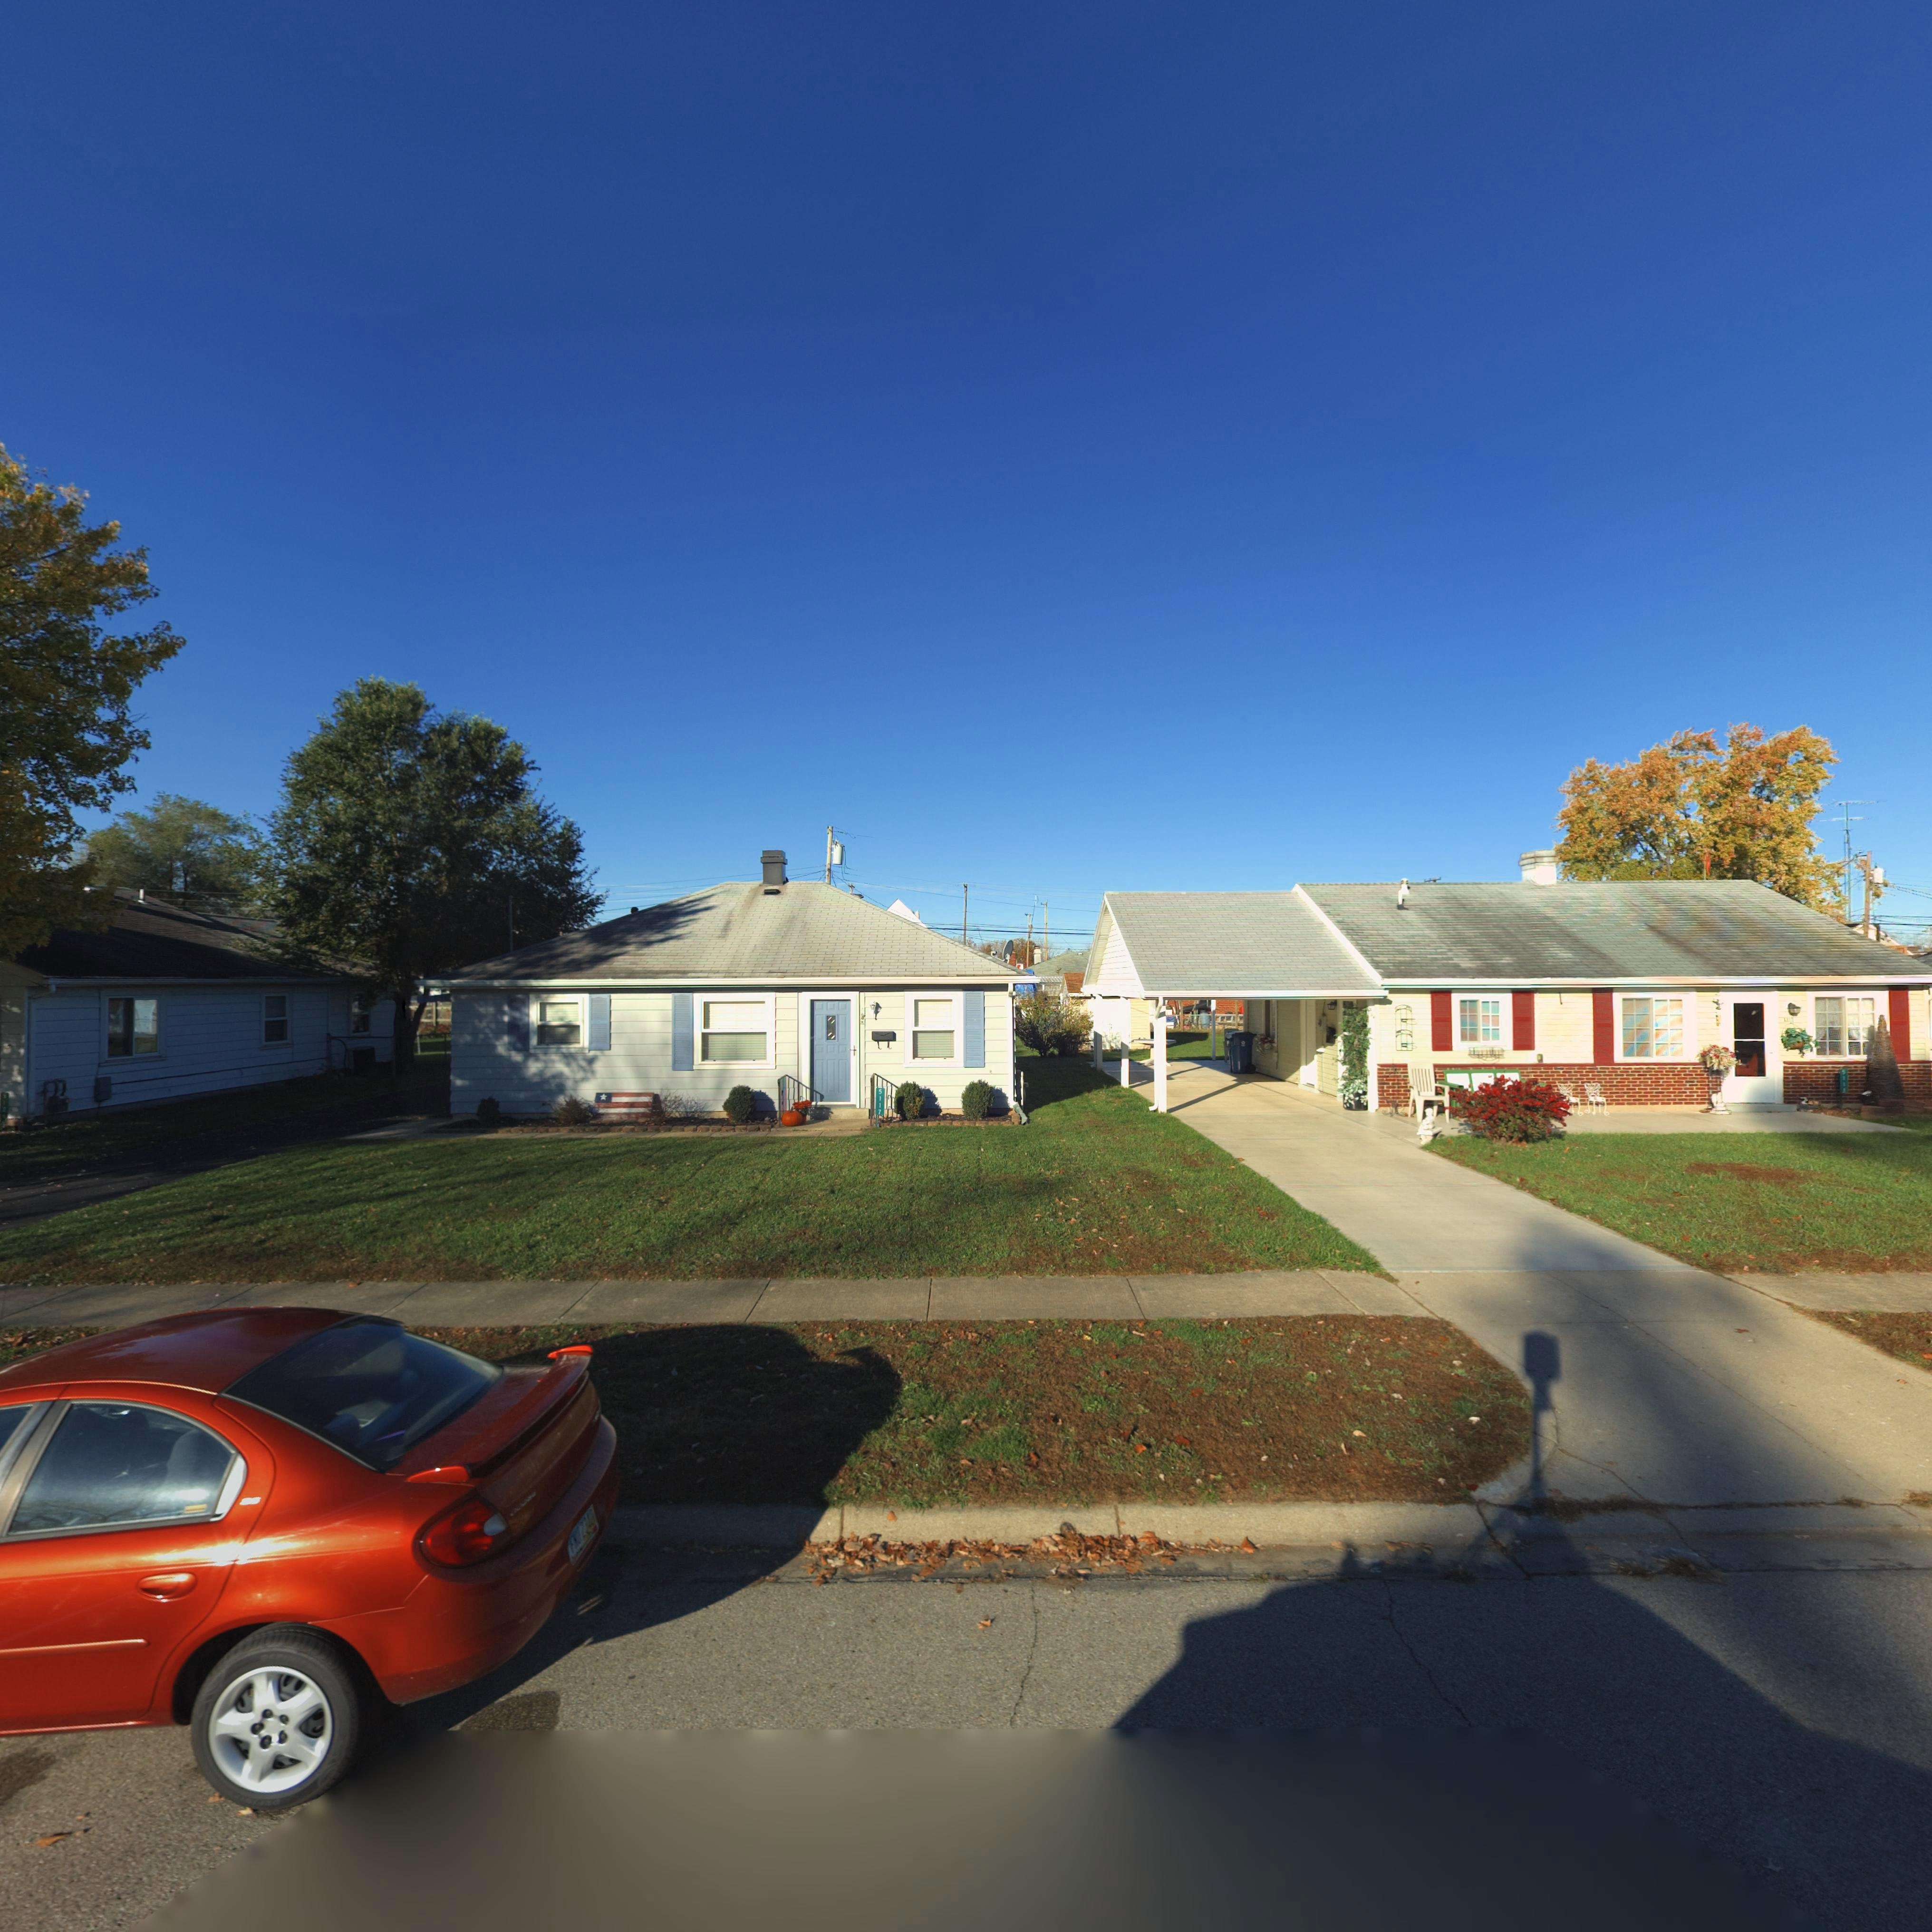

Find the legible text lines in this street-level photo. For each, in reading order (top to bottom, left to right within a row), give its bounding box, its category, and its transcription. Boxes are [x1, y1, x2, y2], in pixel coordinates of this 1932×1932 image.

[1841, 1069, 1846, 1093] StreetNumber: 5113
[878, 1088, 882, 1115] StreetNumber: 5117